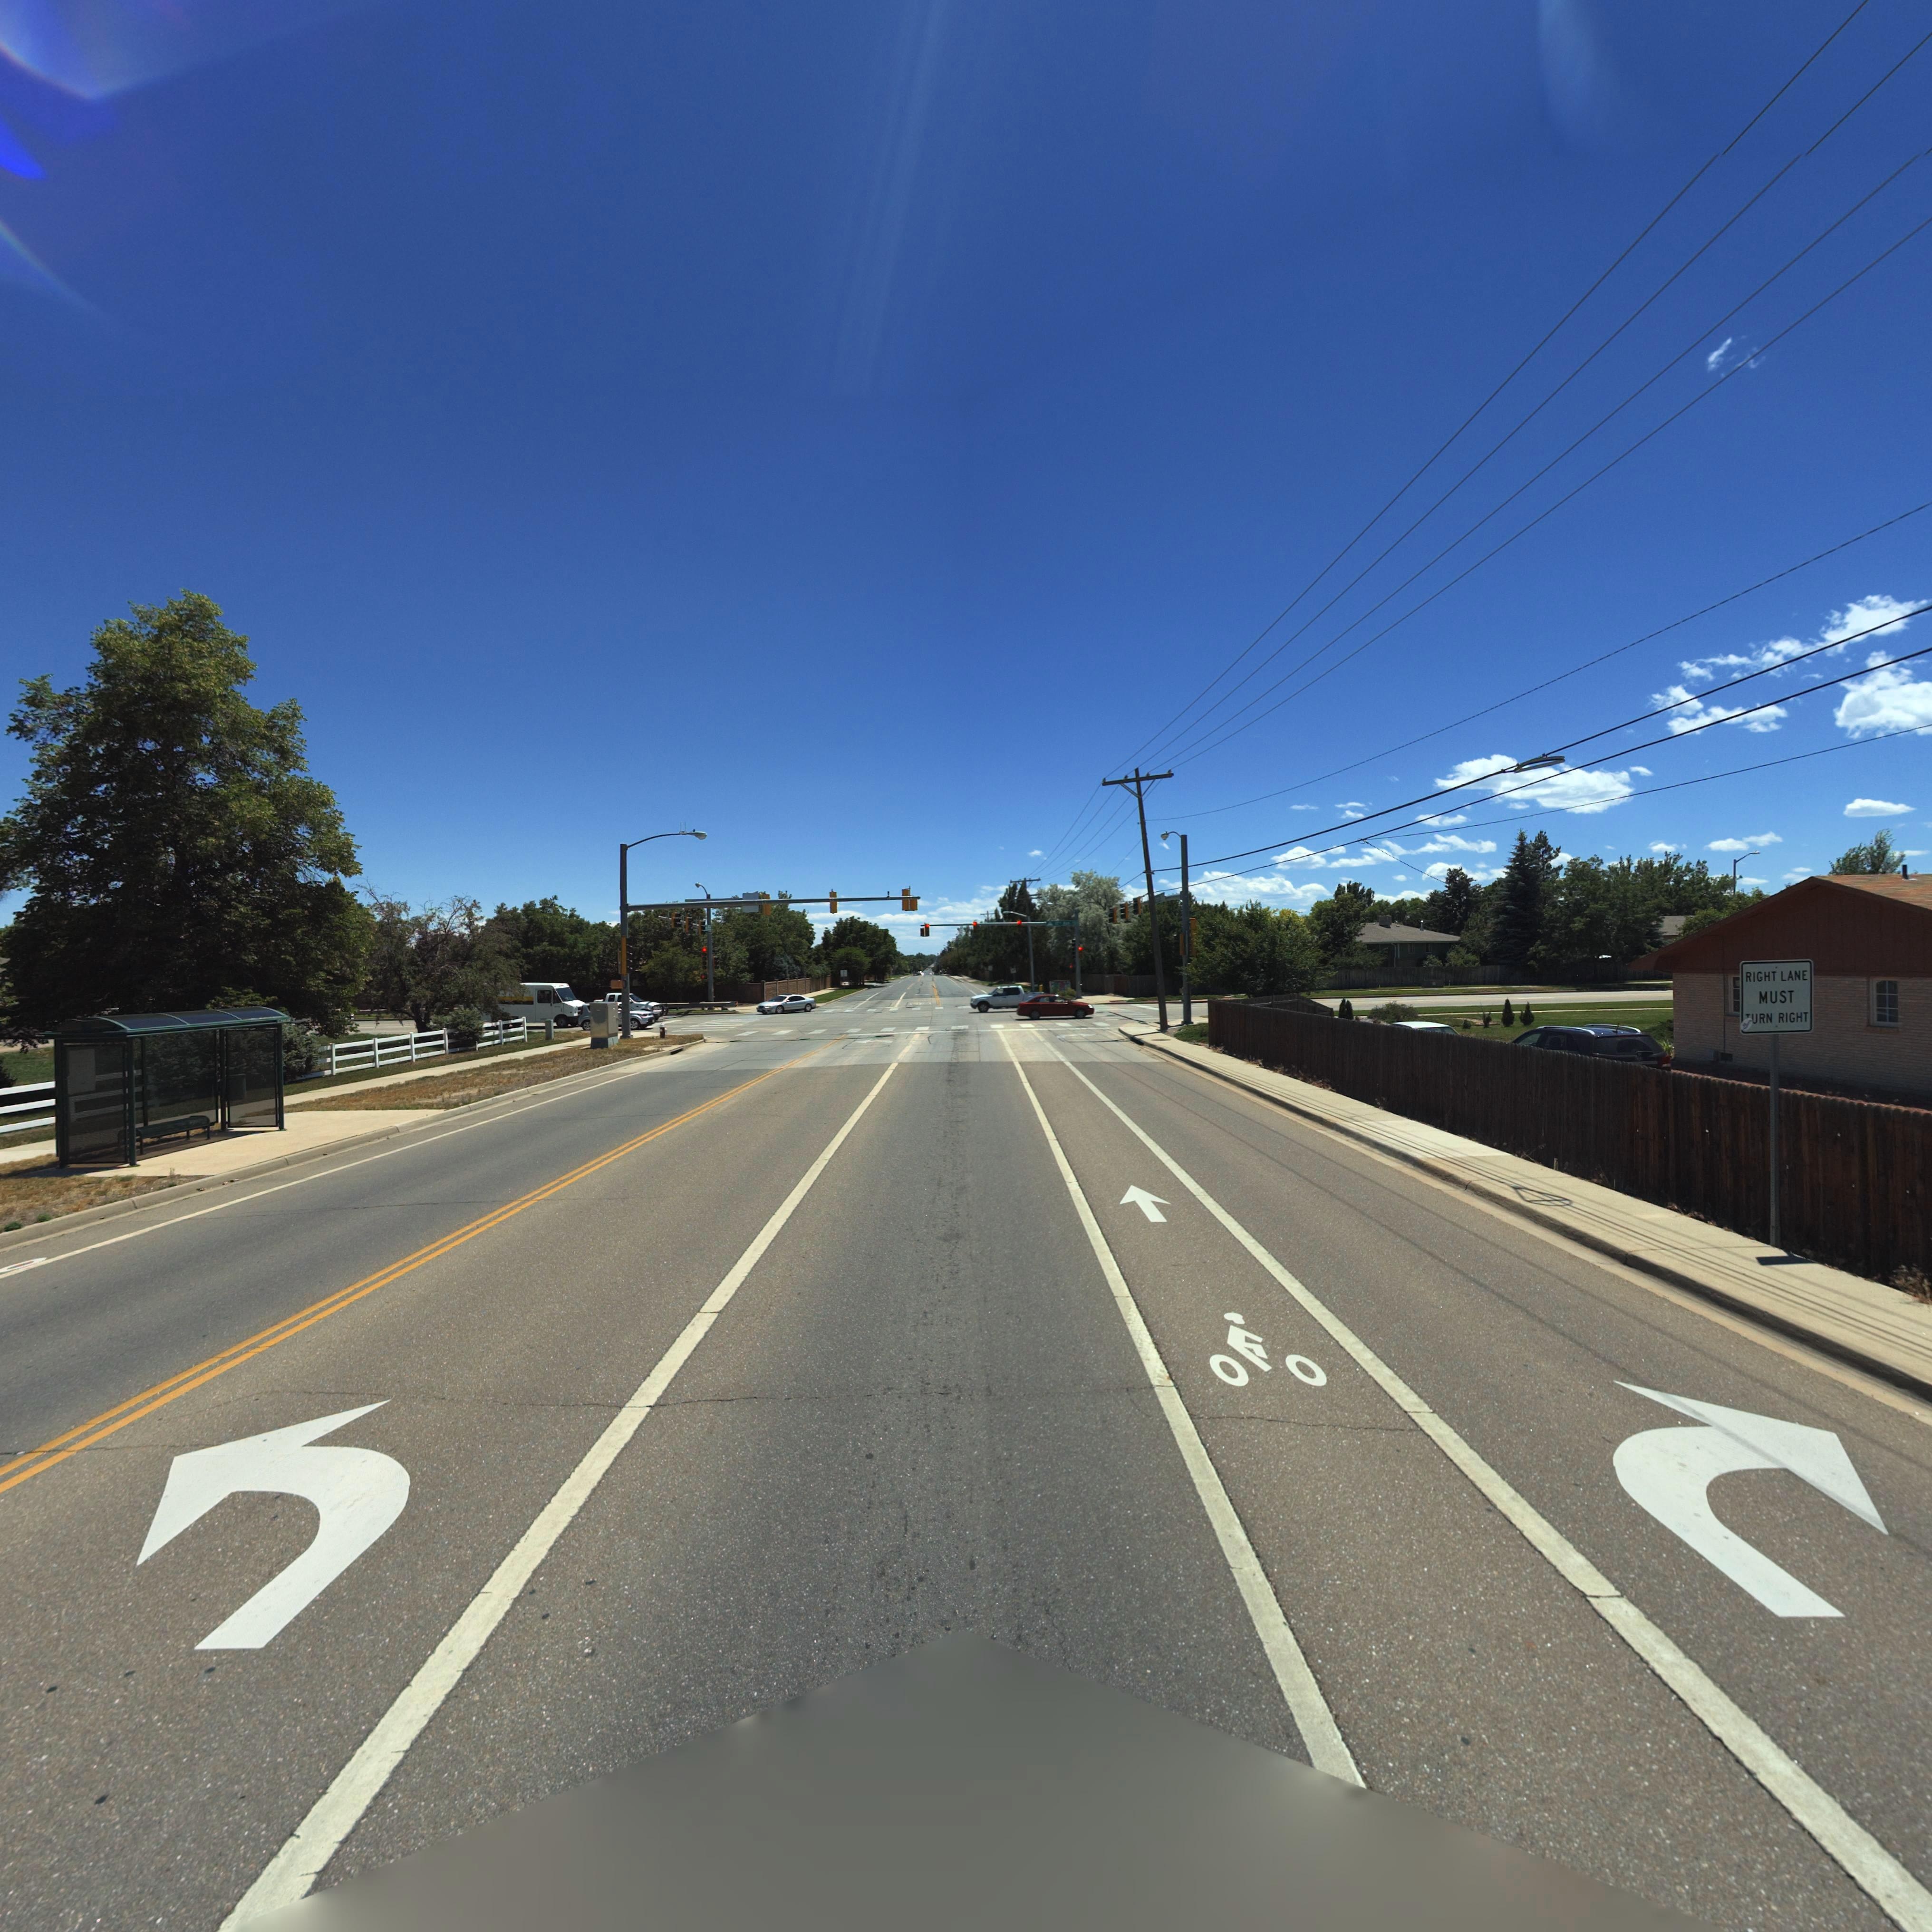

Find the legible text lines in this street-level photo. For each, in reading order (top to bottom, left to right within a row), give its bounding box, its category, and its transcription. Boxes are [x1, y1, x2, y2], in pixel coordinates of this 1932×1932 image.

[1054, 921, 1070, 925] StreetName: 17th Ave